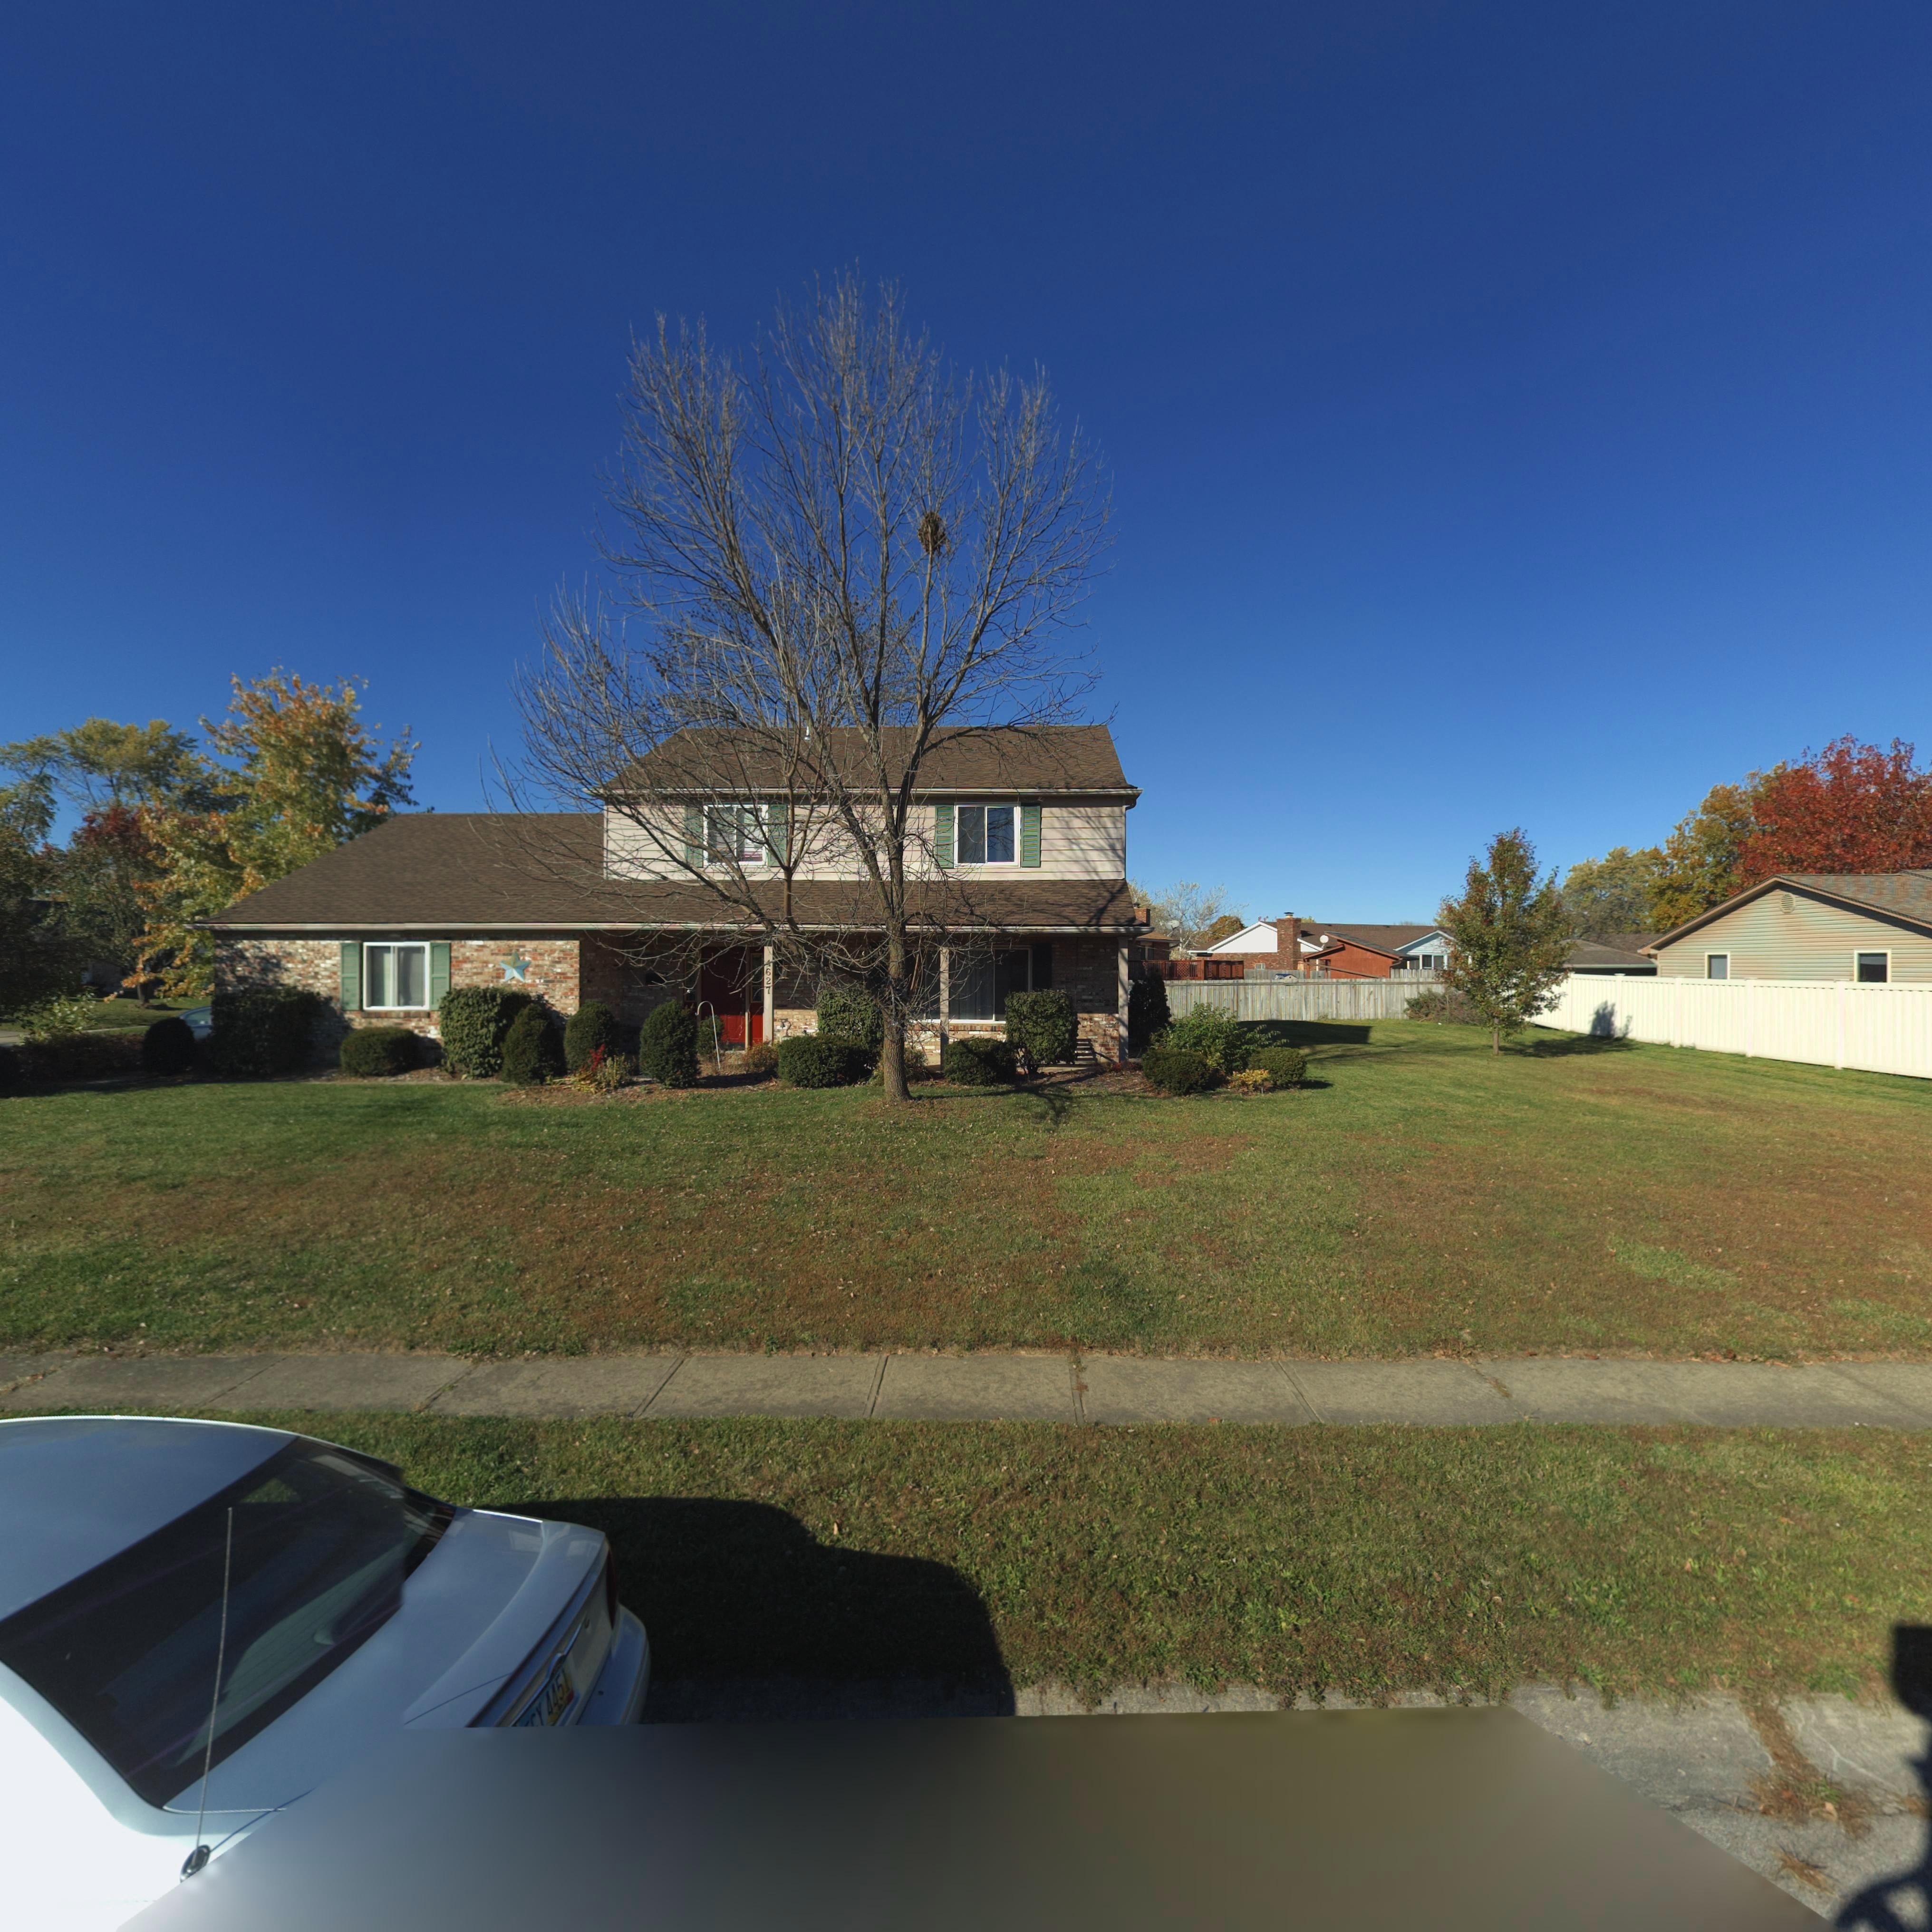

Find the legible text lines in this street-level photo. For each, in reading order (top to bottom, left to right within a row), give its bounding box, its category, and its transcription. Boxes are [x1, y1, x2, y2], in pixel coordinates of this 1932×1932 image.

[765, 959, 771, 995] StreetNumber: *627